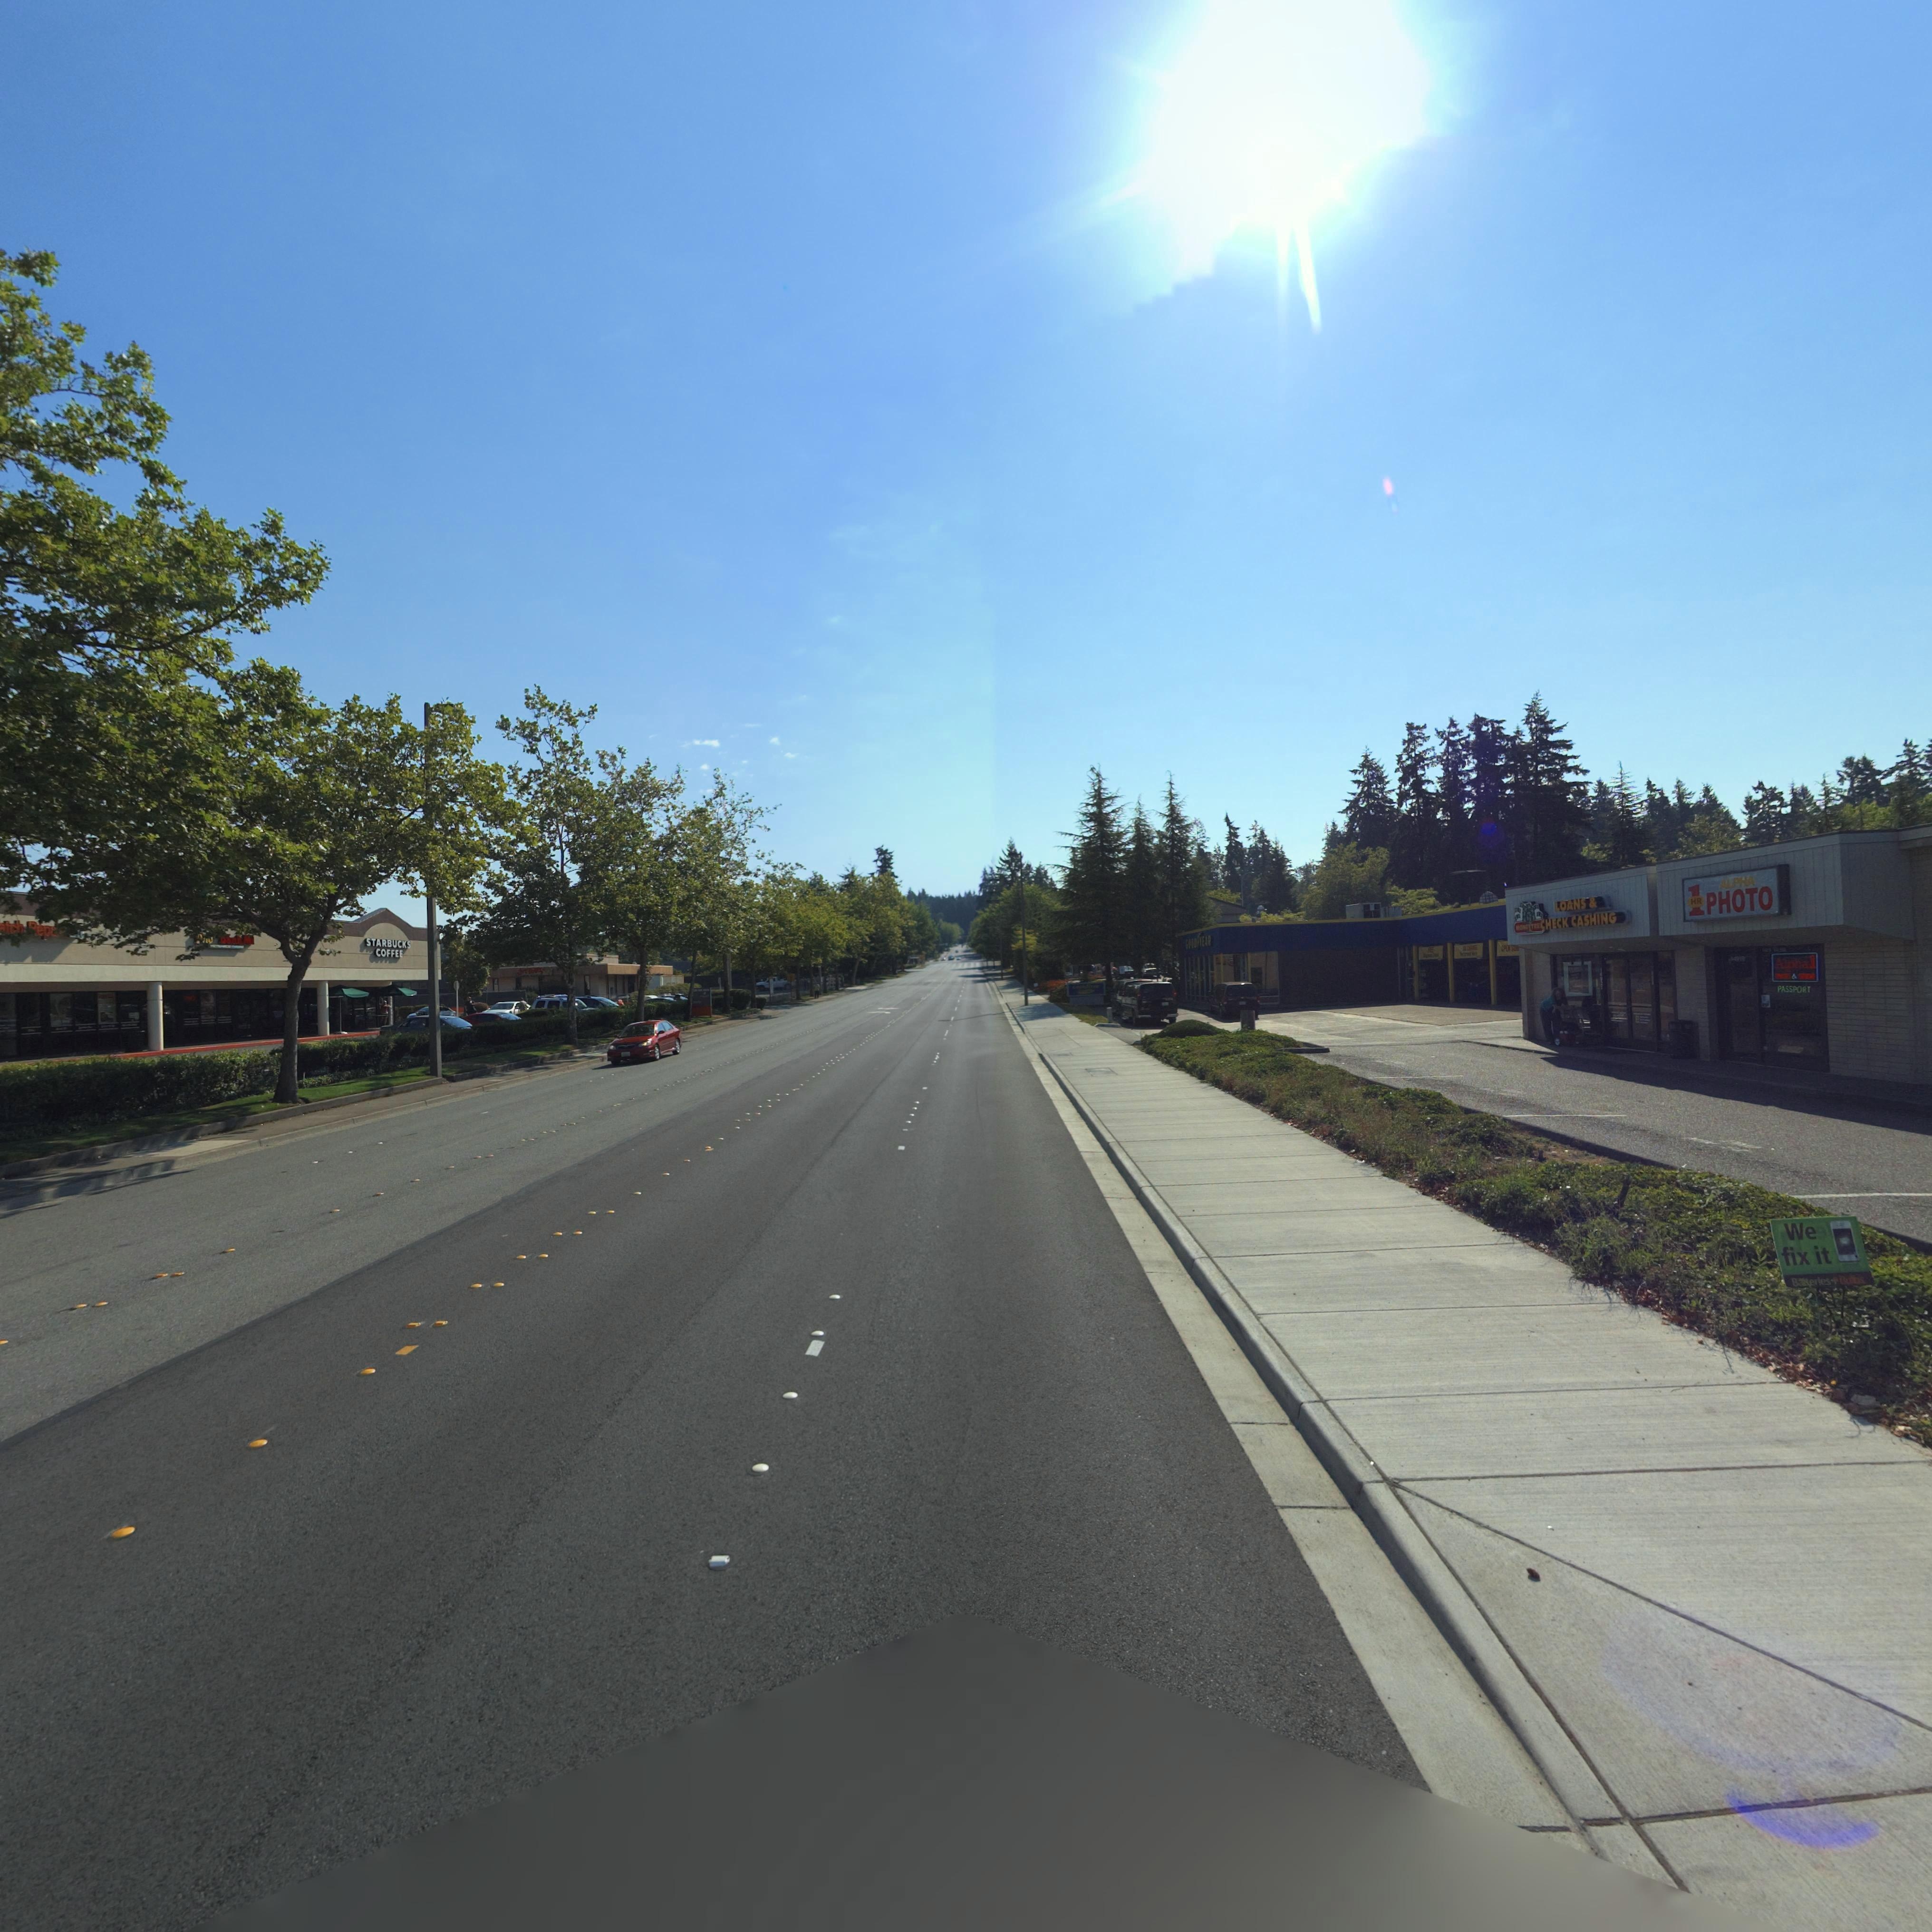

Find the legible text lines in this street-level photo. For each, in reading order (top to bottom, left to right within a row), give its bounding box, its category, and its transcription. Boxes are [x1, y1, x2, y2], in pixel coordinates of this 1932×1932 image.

[1719, 875, 1757, 890] BusinessName: ALPHA
[1554, 896, 1598, 912] BusinessName: LOANS &
[1687, 883, 1705, 917] BusinessName: 1
[1690, 897, 1703, 905] BusinessName: HR
[3, 919, 24, 935] BusinessName: tch
[37, 925, 51, 940] BusinessName: ep
[1515, 922, 1540, 931] BusinessName: *ONEYTRE
[1539, 911, 1618, 931] BusinessName: CHECK CASHING
[367, 937, 411, 948] BusinessName: STARBUCKS
[1185, 935, 1211, 950] BusinessName: GOOD*YEAR
[375, 948, 403, 957] BusinessName: COFFEE